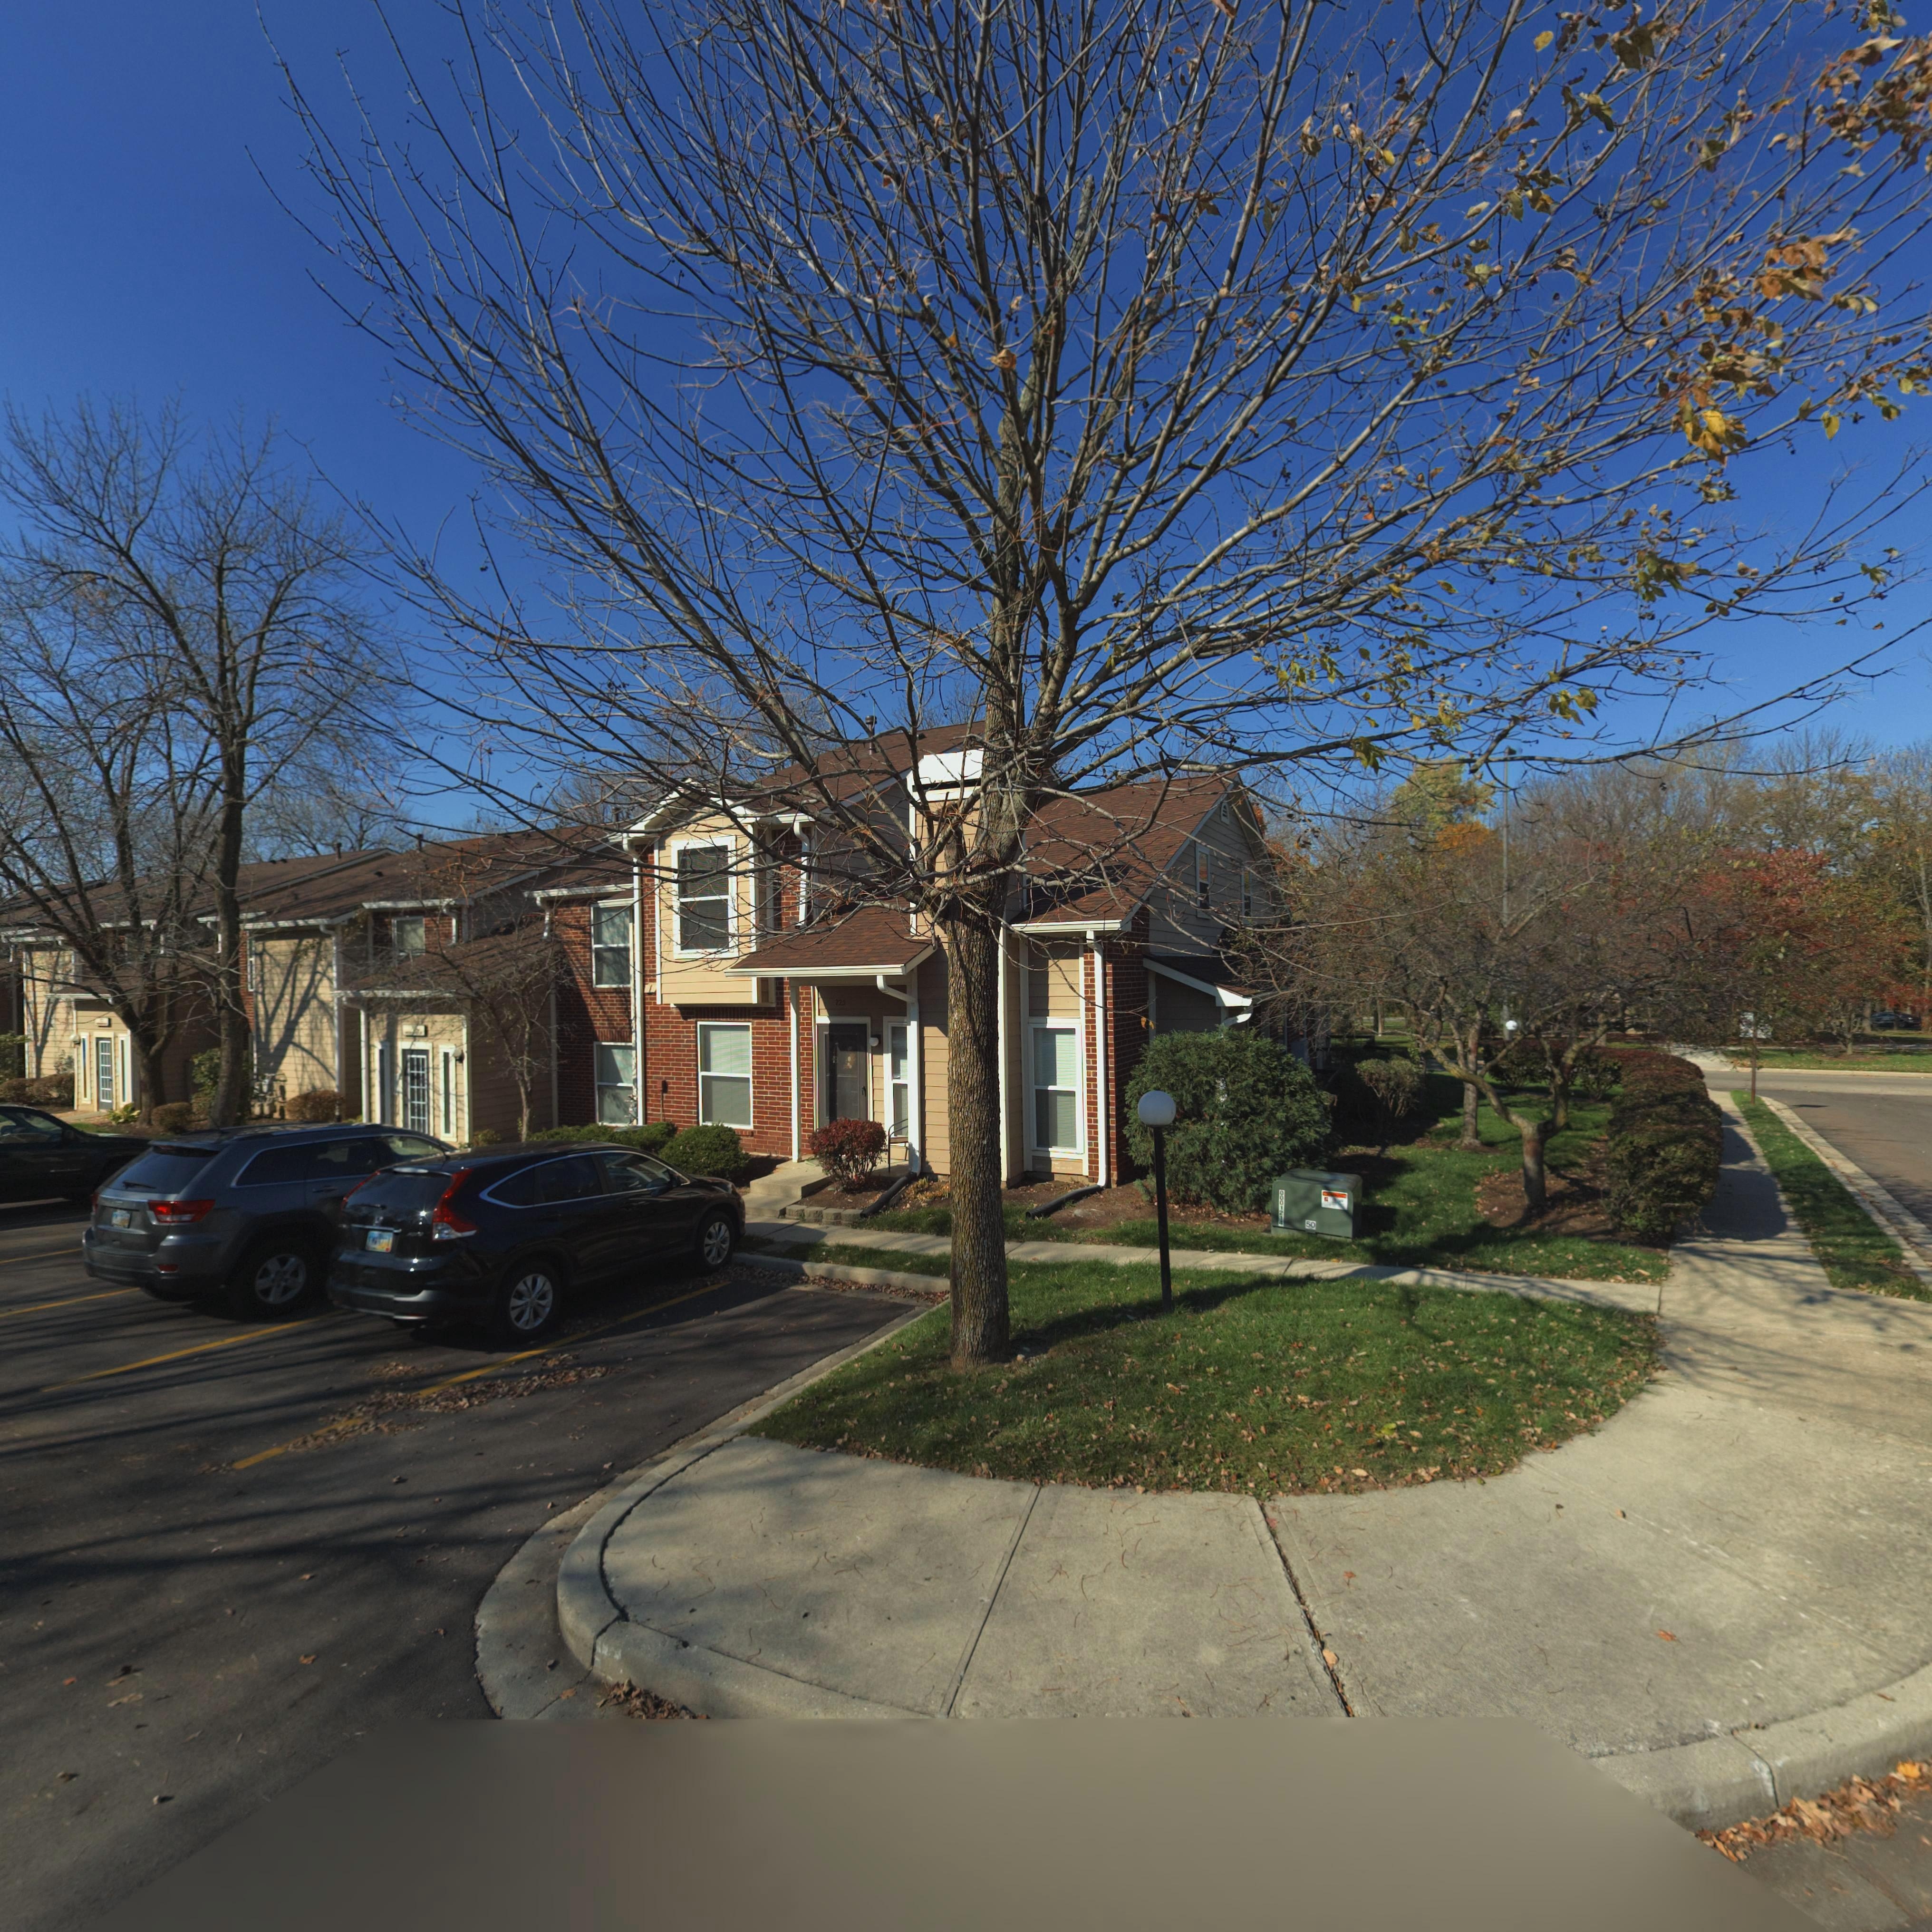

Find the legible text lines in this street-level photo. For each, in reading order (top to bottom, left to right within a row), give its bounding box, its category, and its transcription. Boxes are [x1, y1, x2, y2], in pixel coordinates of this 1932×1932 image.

[834, 998, 848, 1007] StreetNumber: 725
[1278, 1188, 1285, 1227] None: 0001214
[1305, 1220, 1316, 1229] None: 50